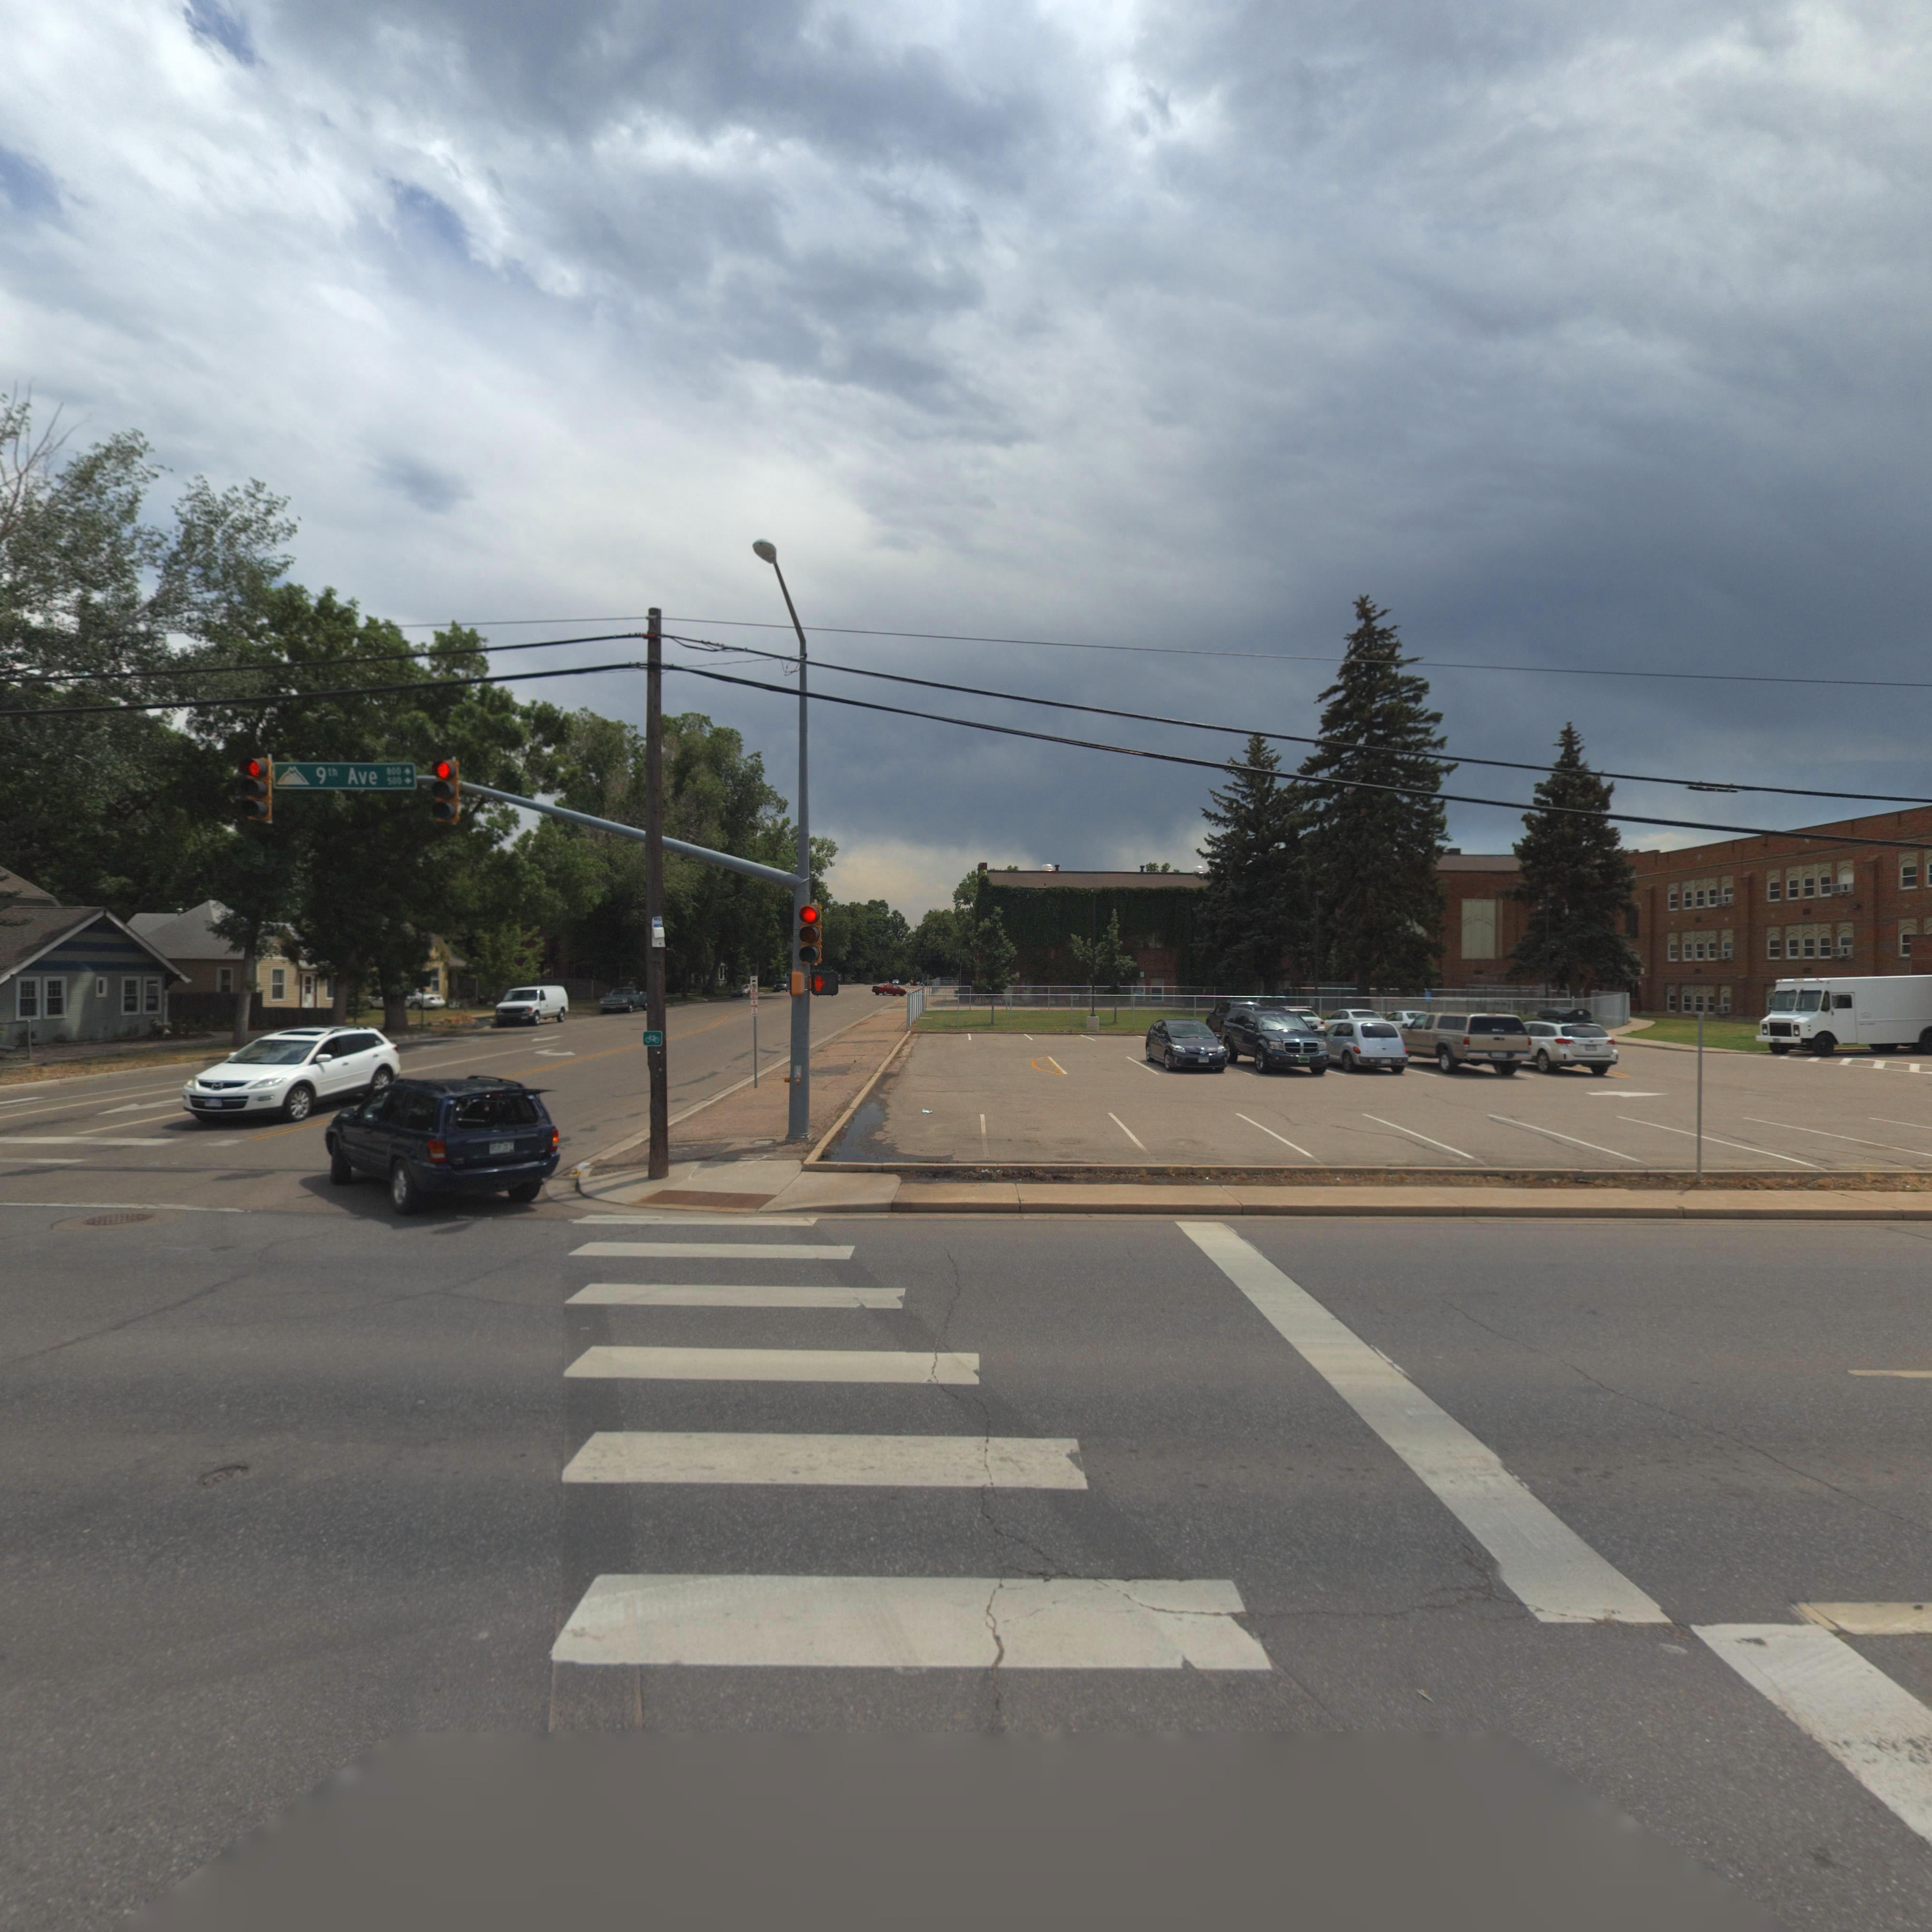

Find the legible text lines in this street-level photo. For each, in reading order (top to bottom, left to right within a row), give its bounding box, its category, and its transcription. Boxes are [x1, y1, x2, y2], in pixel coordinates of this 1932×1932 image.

[386, 767, 401, 775] StreetNumberRange: 800
[315, 766, 378, 785] None: 9th Ave
[386, 776, 412, 785] StreetNumberRange: 500->